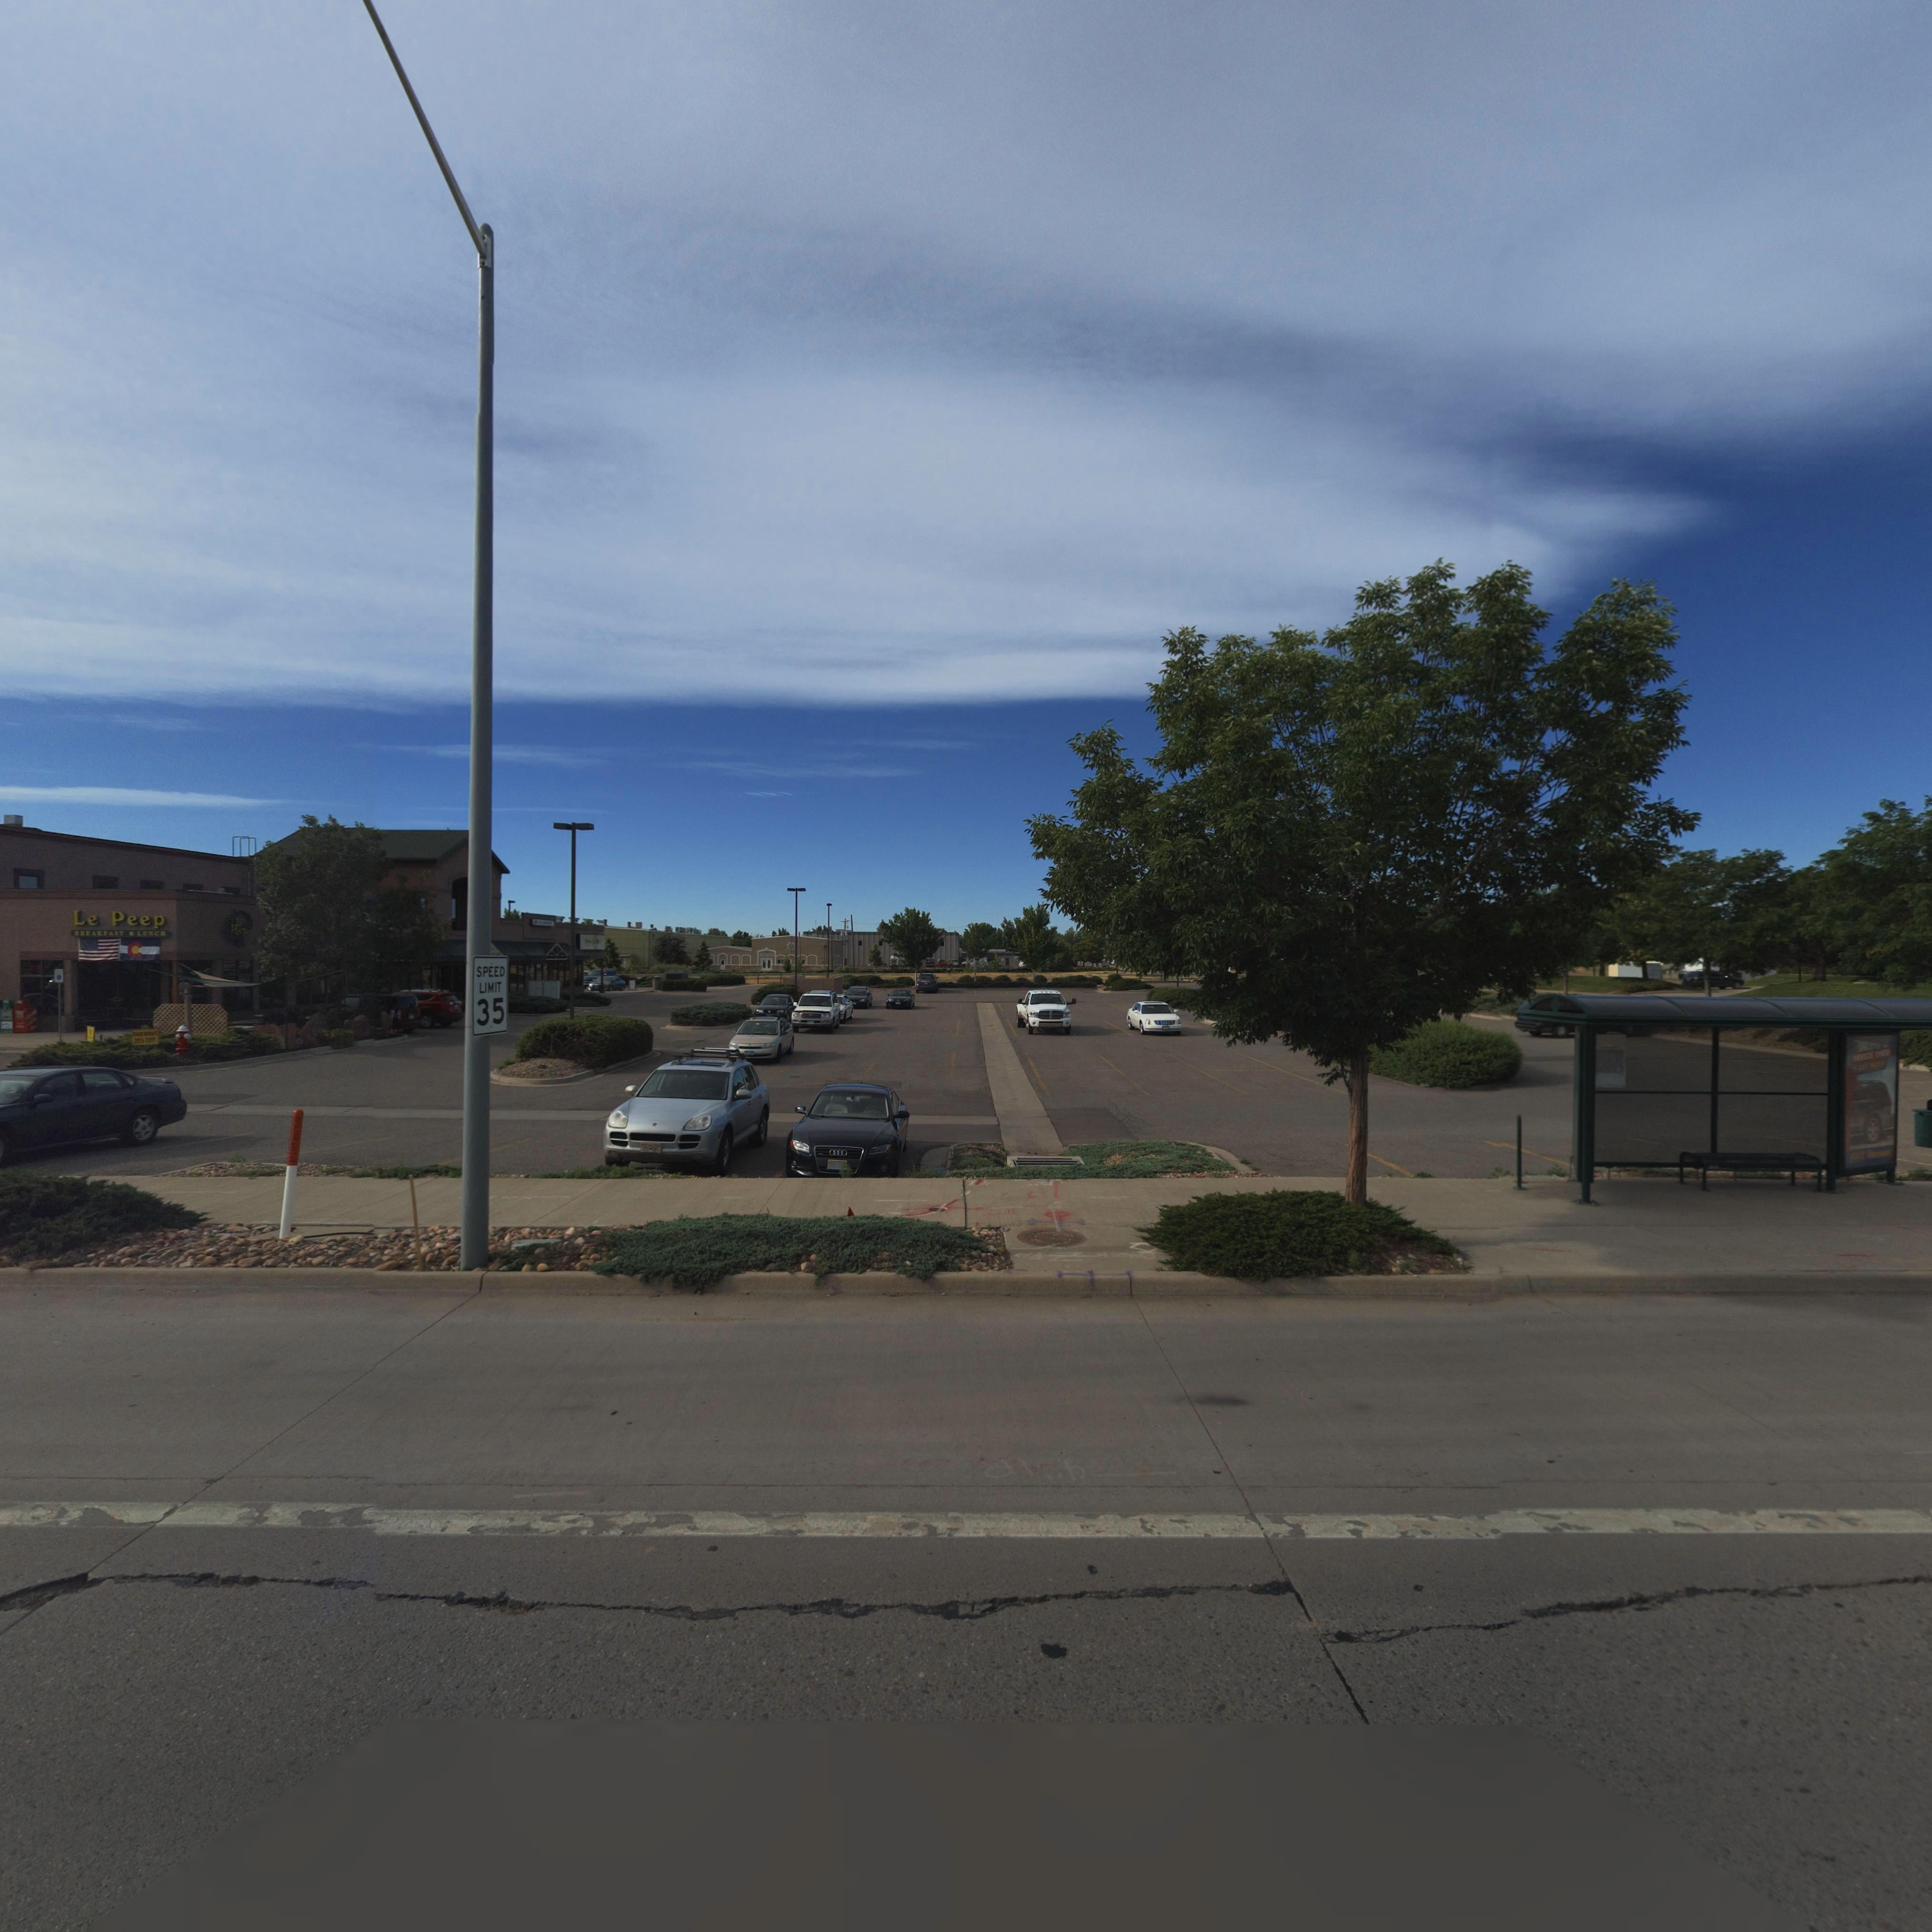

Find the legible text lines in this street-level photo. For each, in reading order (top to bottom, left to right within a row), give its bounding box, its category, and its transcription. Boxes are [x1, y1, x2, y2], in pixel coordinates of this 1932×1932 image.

[71, 909, 165, 929] BusinessName: Le Peep